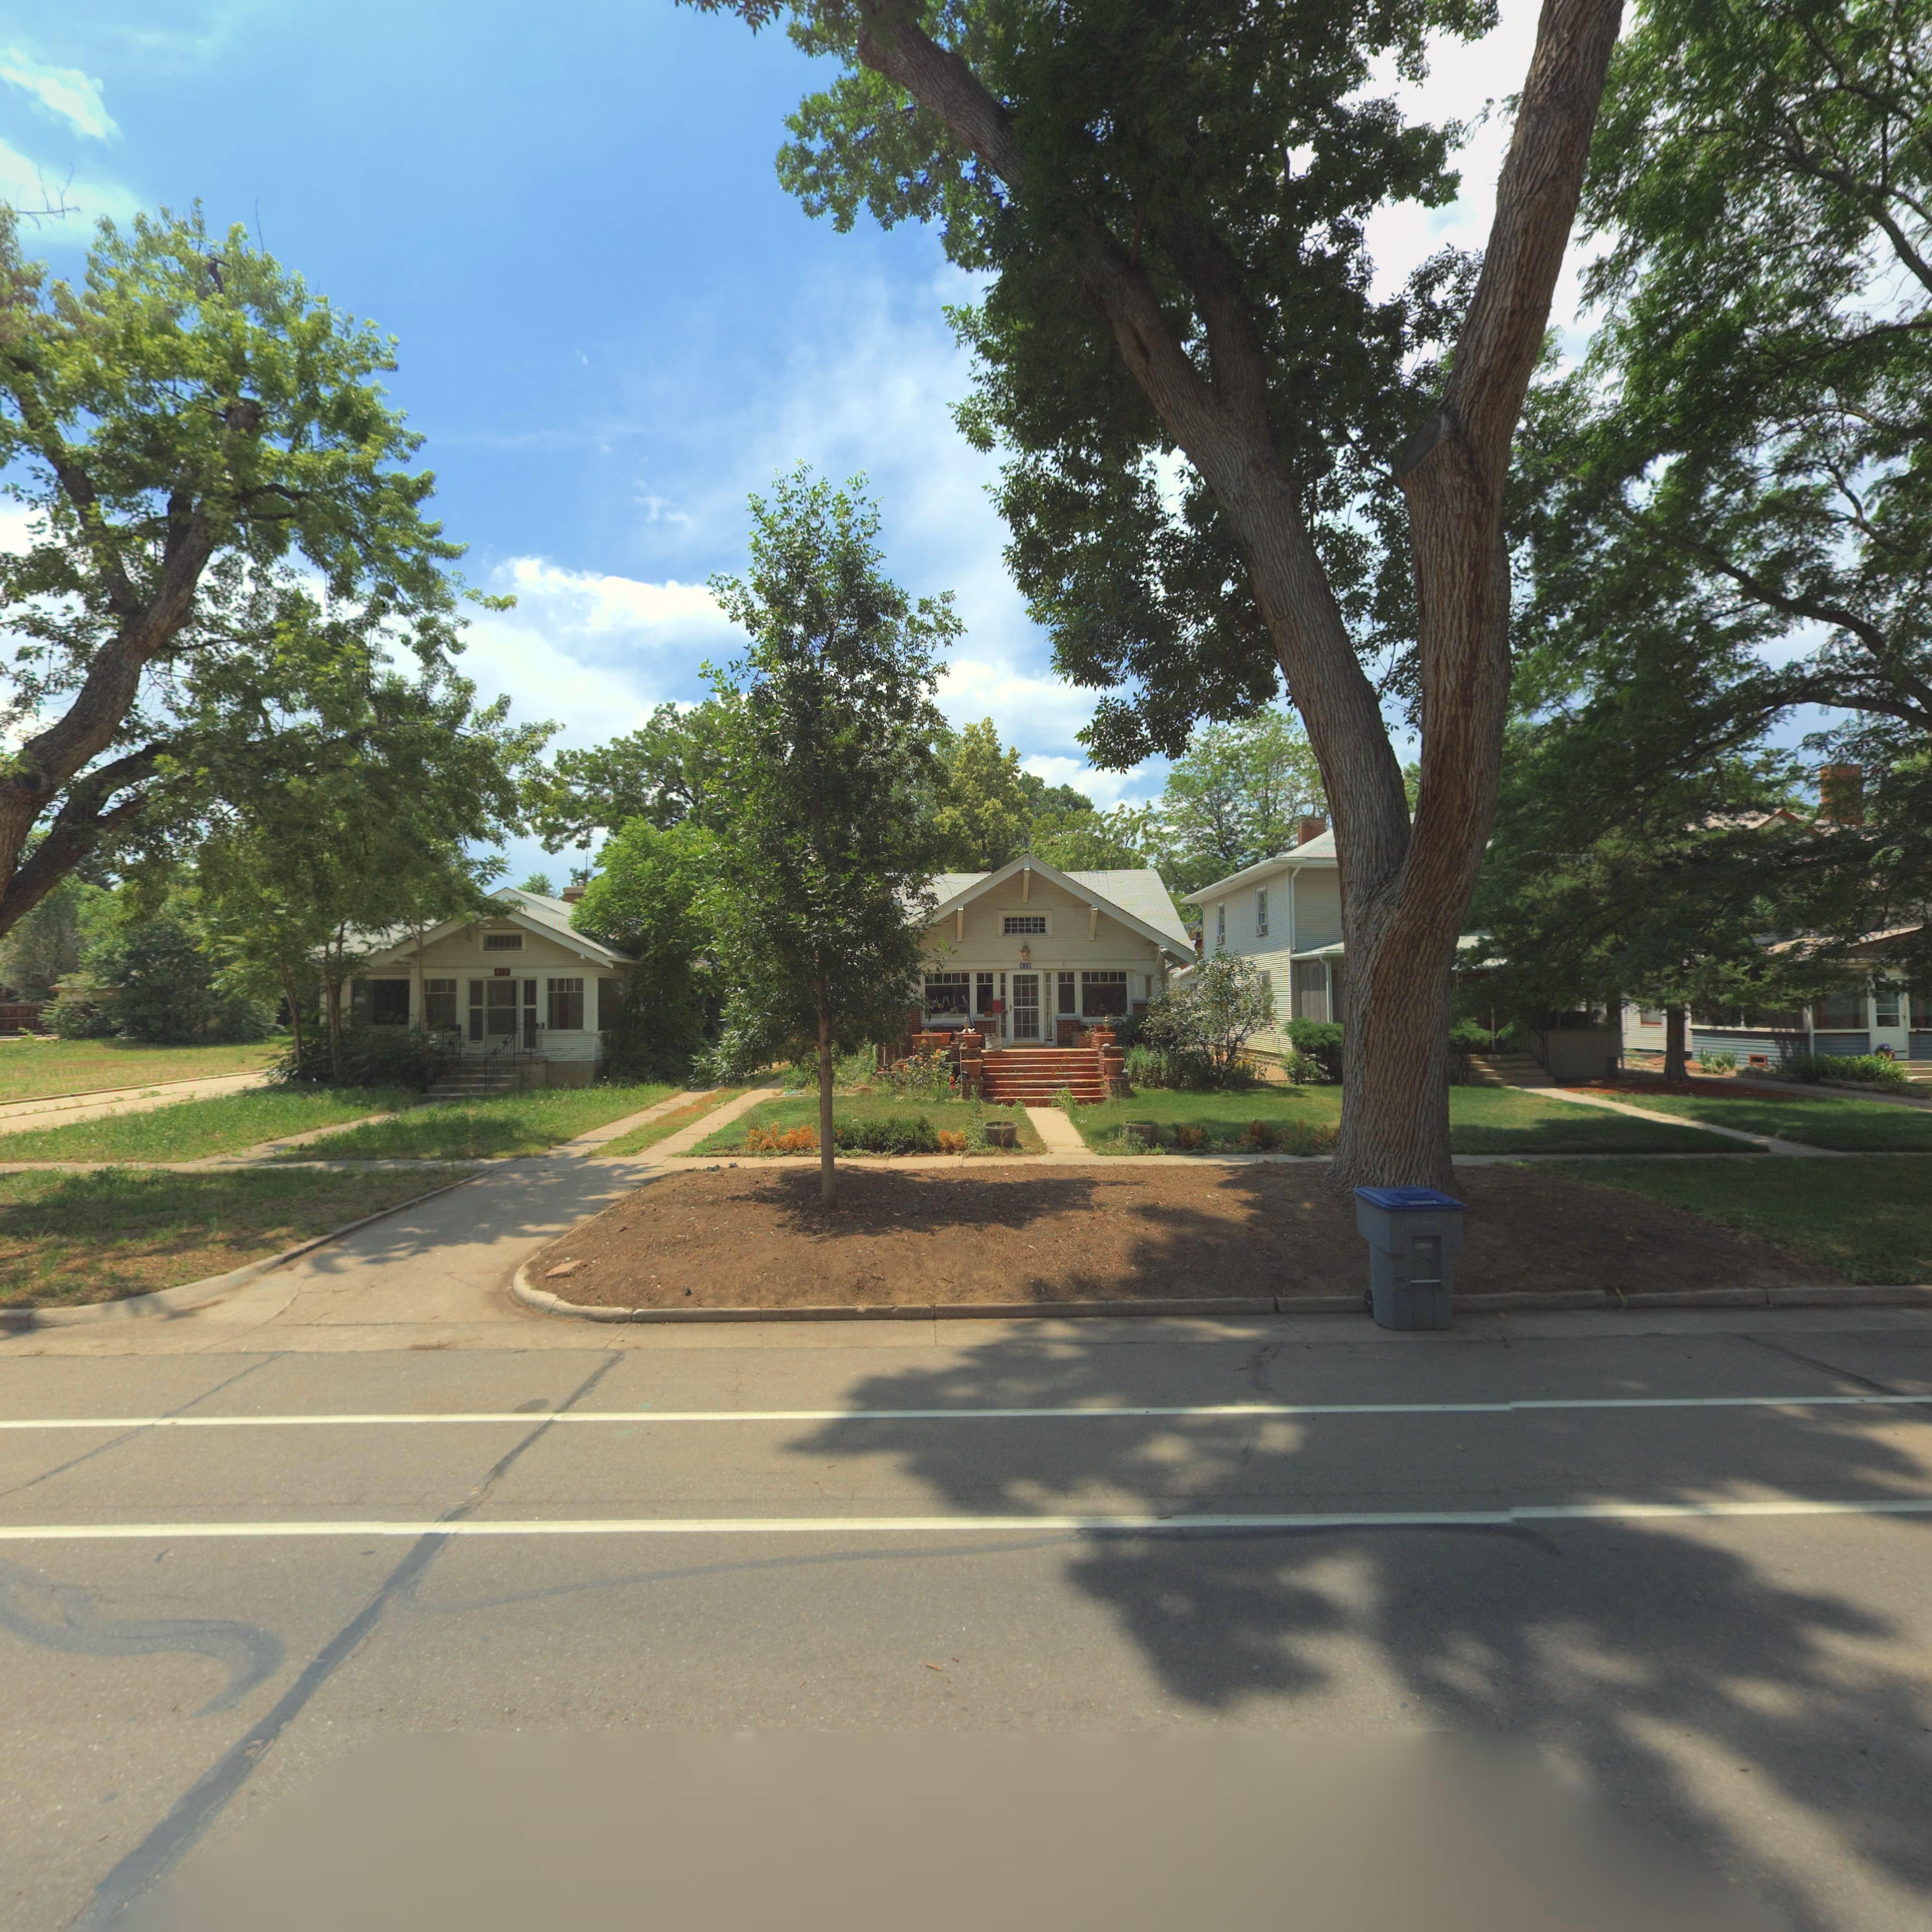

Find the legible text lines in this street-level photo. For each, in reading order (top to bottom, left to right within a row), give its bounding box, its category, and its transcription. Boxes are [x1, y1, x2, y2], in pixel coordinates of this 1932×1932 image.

[1019, 963, 1031, 968] StreetNumber: 419
[494, 968, 509, 975] StreetNumber: 415